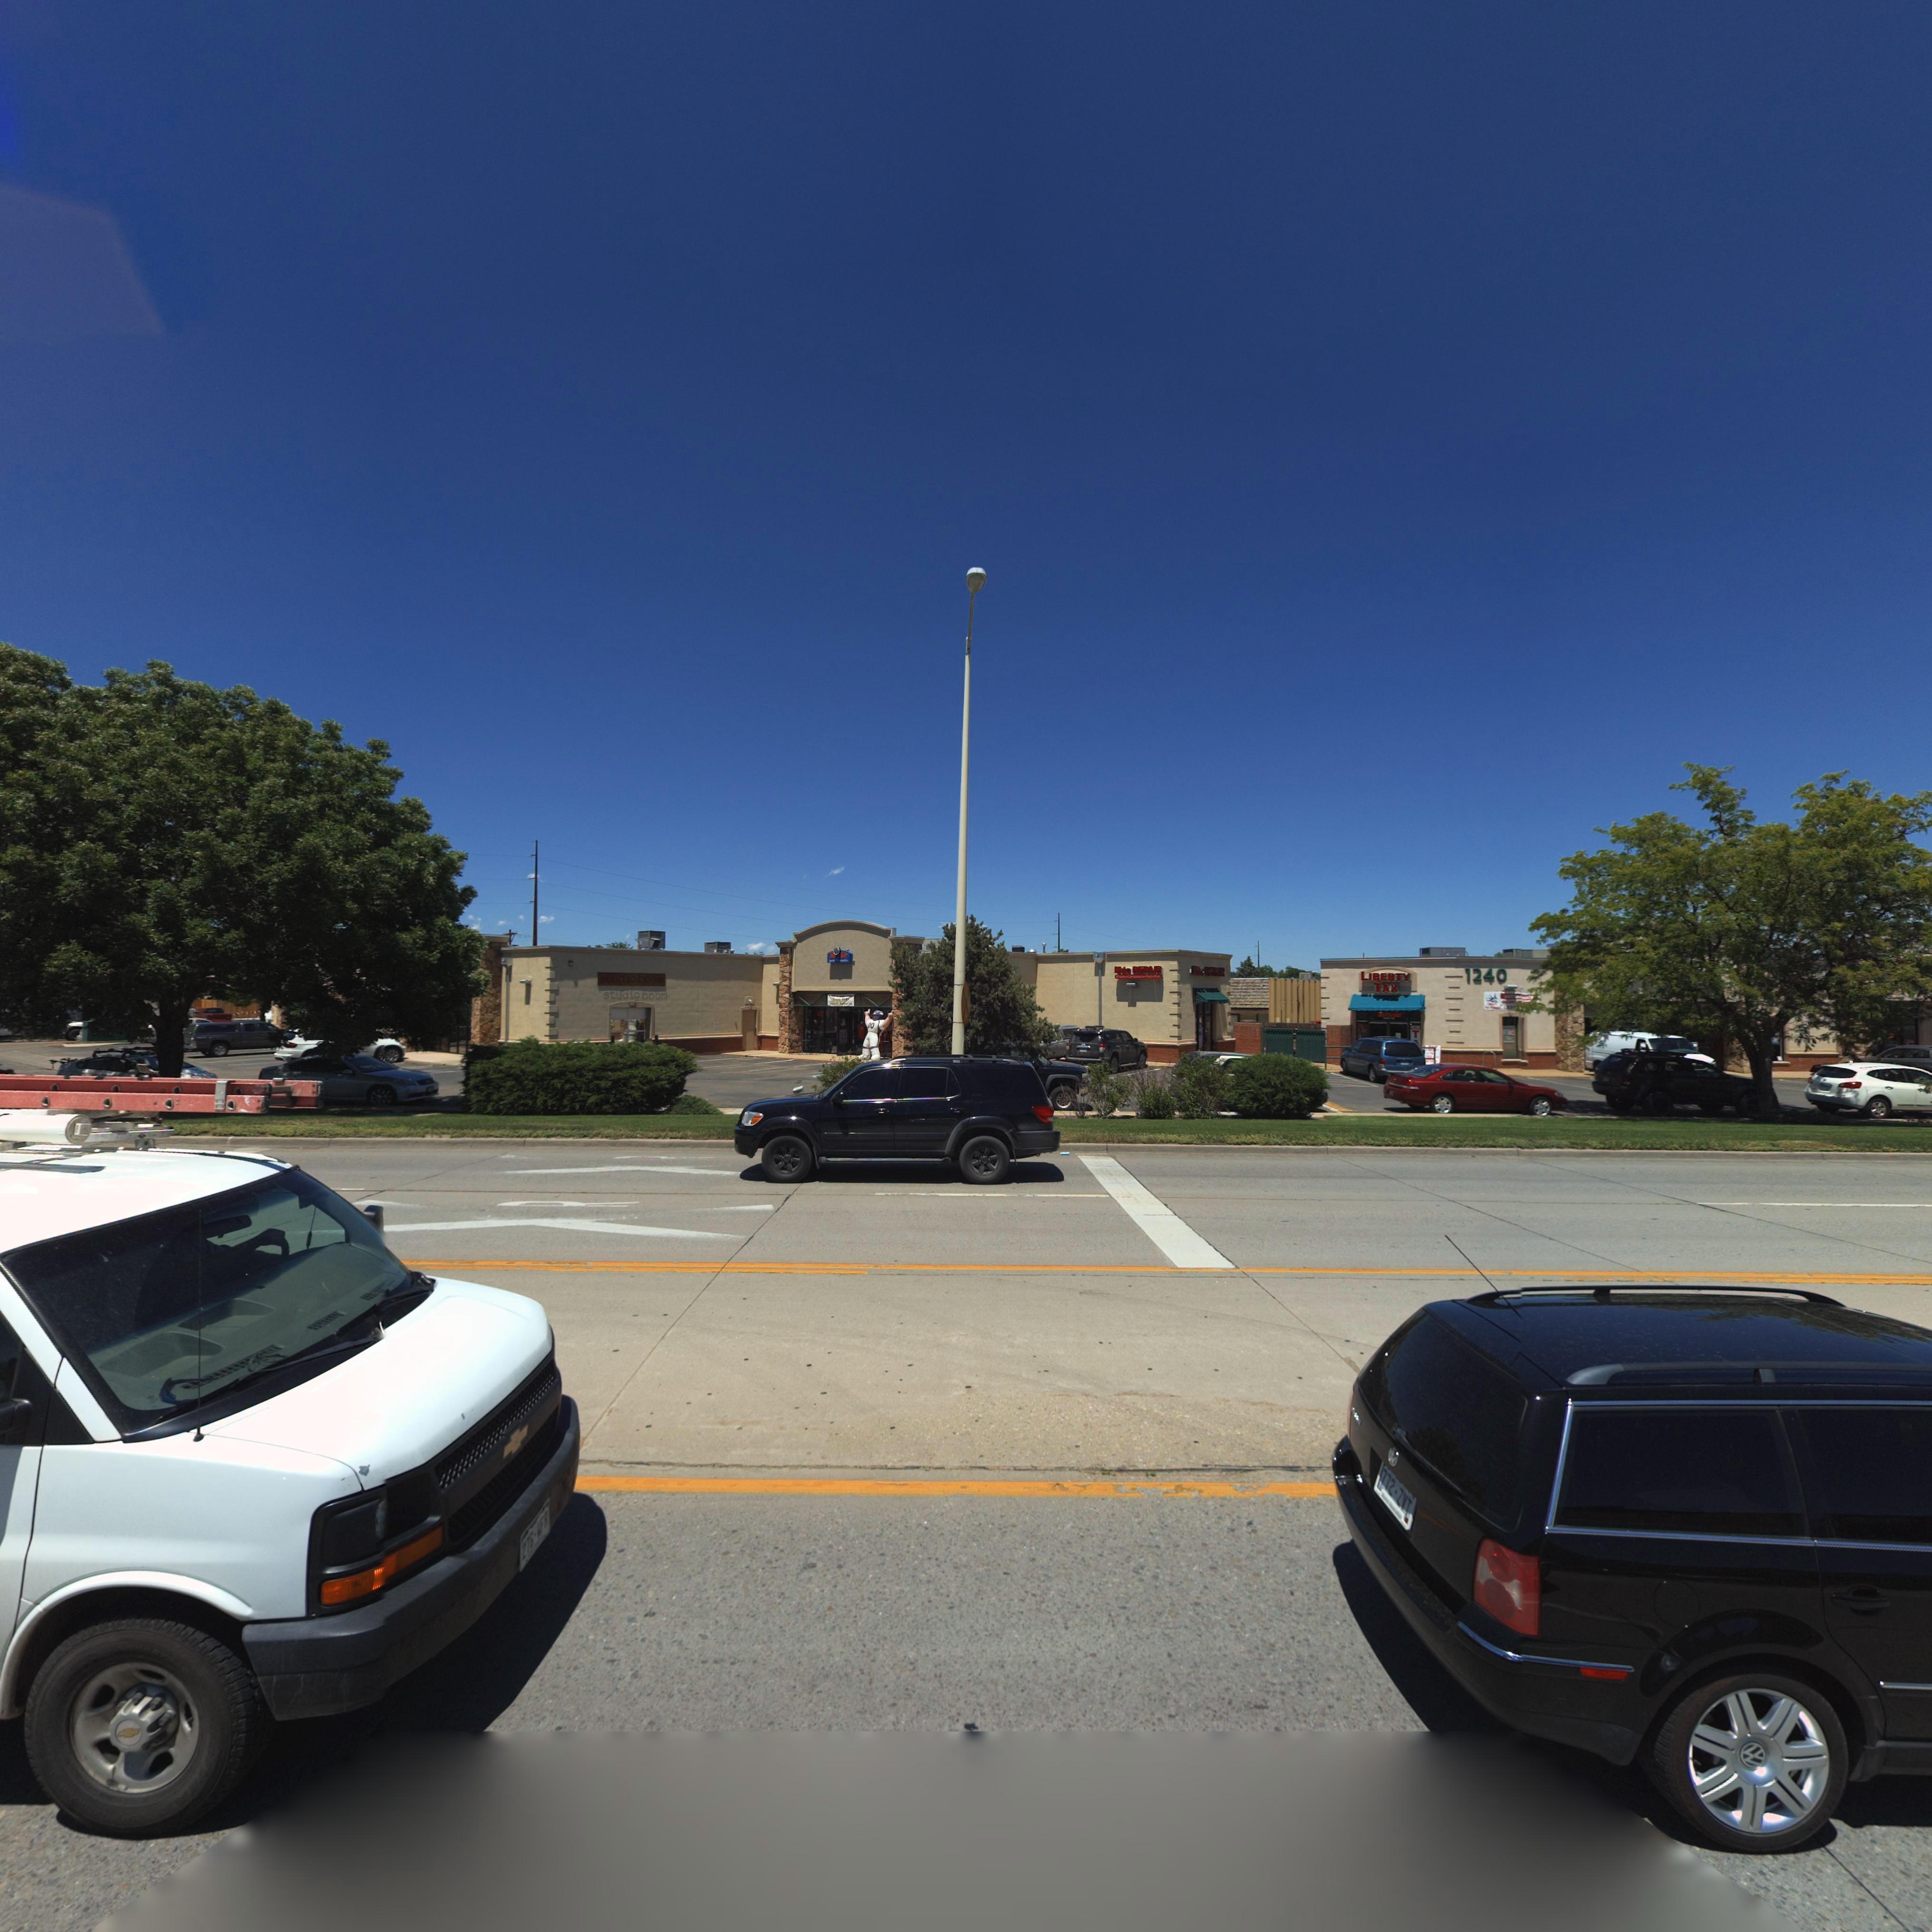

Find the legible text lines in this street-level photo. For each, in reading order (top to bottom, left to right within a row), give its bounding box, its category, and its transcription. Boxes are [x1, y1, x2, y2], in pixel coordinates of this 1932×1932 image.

[830, 951, 846, 958] BusinessName: K D
[599, 973, 665, 983] BusinessName: s**dio boo*
[1113, 965, 1162, 973] BusinessName: Mac REPAIR
[1191, 965, 1225, 977] BusinessName: M*c **P***
[1360, 970, 1411, 982] BusinessName: LIBERTY
[1464, 967, 1507, 982] StreetNumber: 1240
[1373, 982, 1399, 993] BusinessName: TAX
[603, 989, 668, 1000] BusinessName: studio boom